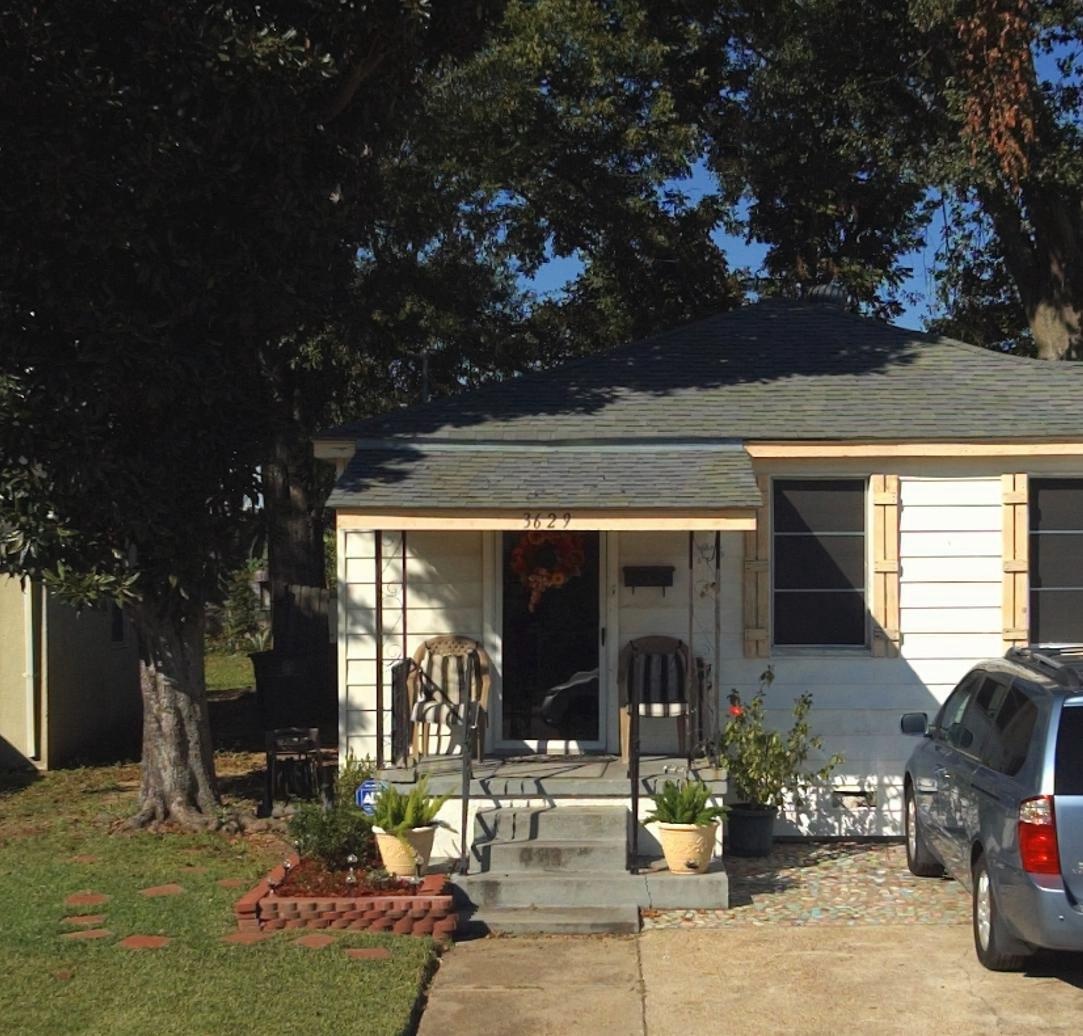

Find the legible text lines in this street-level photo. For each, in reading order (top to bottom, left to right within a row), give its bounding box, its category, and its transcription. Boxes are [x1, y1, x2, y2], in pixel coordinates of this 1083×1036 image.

[522, 511, 573, 530] StreetNumber: 3629
[361, 791, 384, 805] None: A**